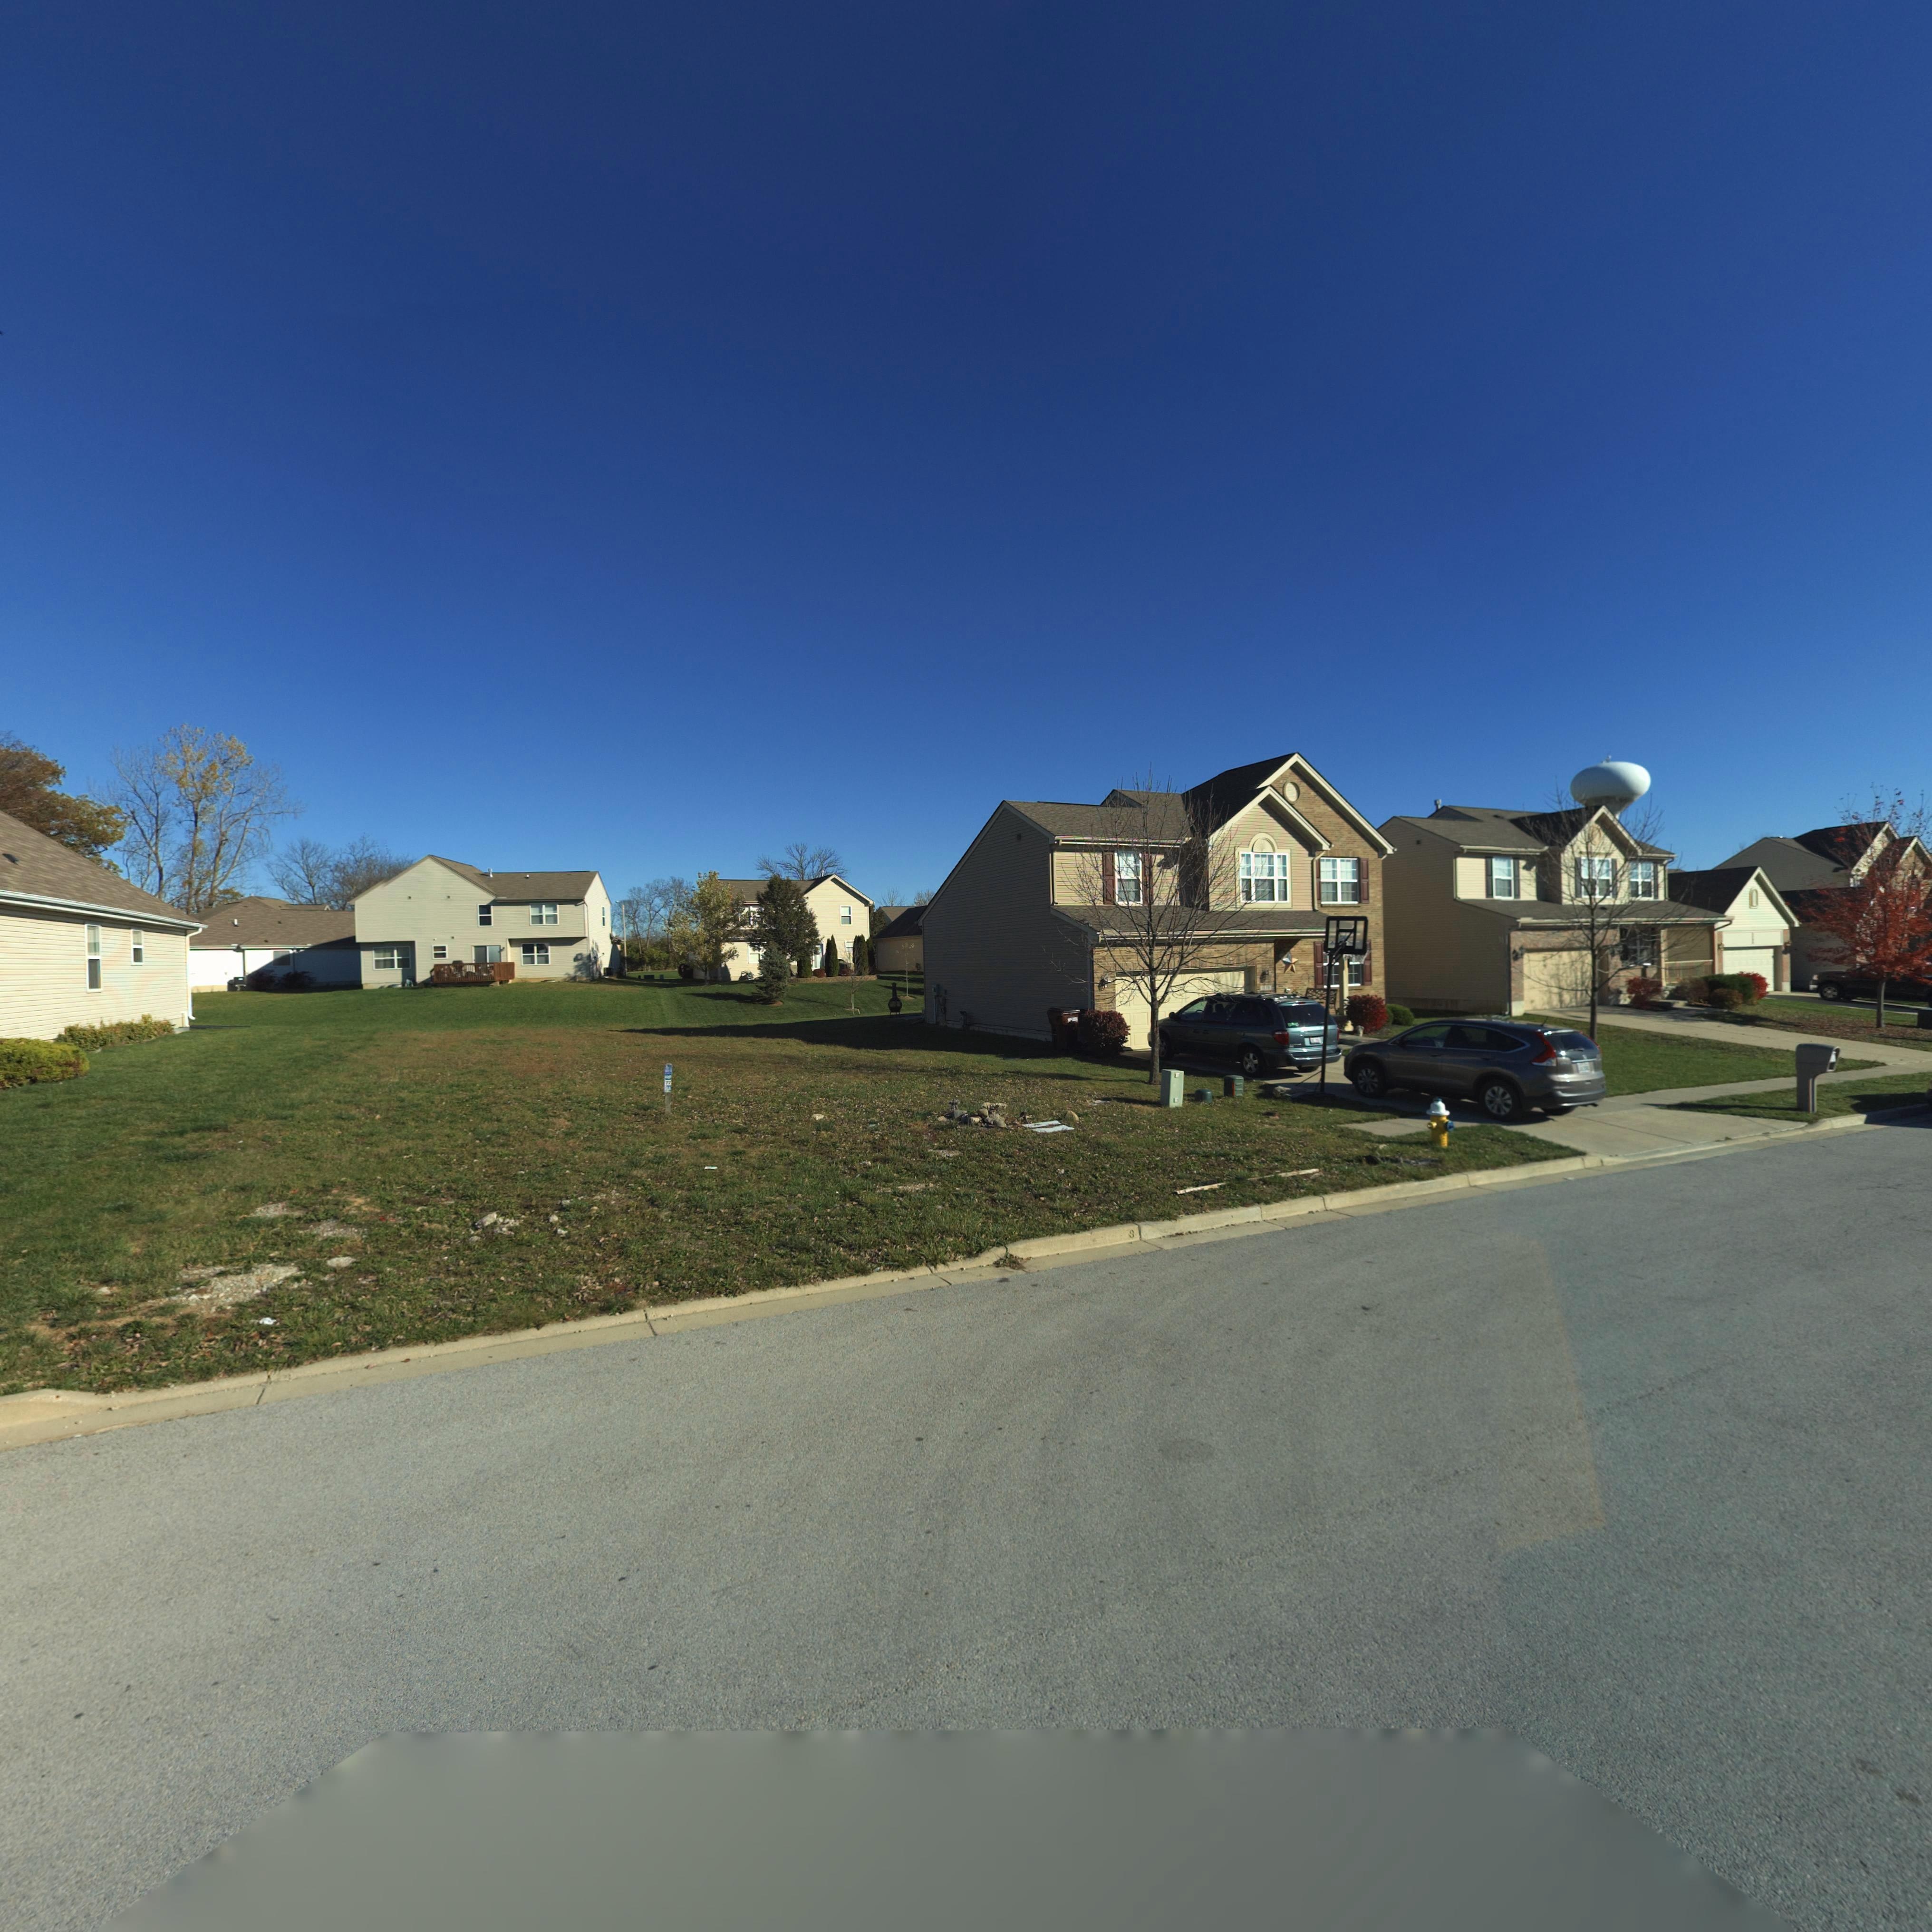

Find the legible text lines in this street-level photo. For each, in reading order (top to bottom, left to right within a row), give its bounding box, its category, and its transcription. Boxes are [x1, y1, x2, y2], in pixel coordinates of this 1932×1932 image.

[1261, 985, 1270, 990] StreetNumber: 1119